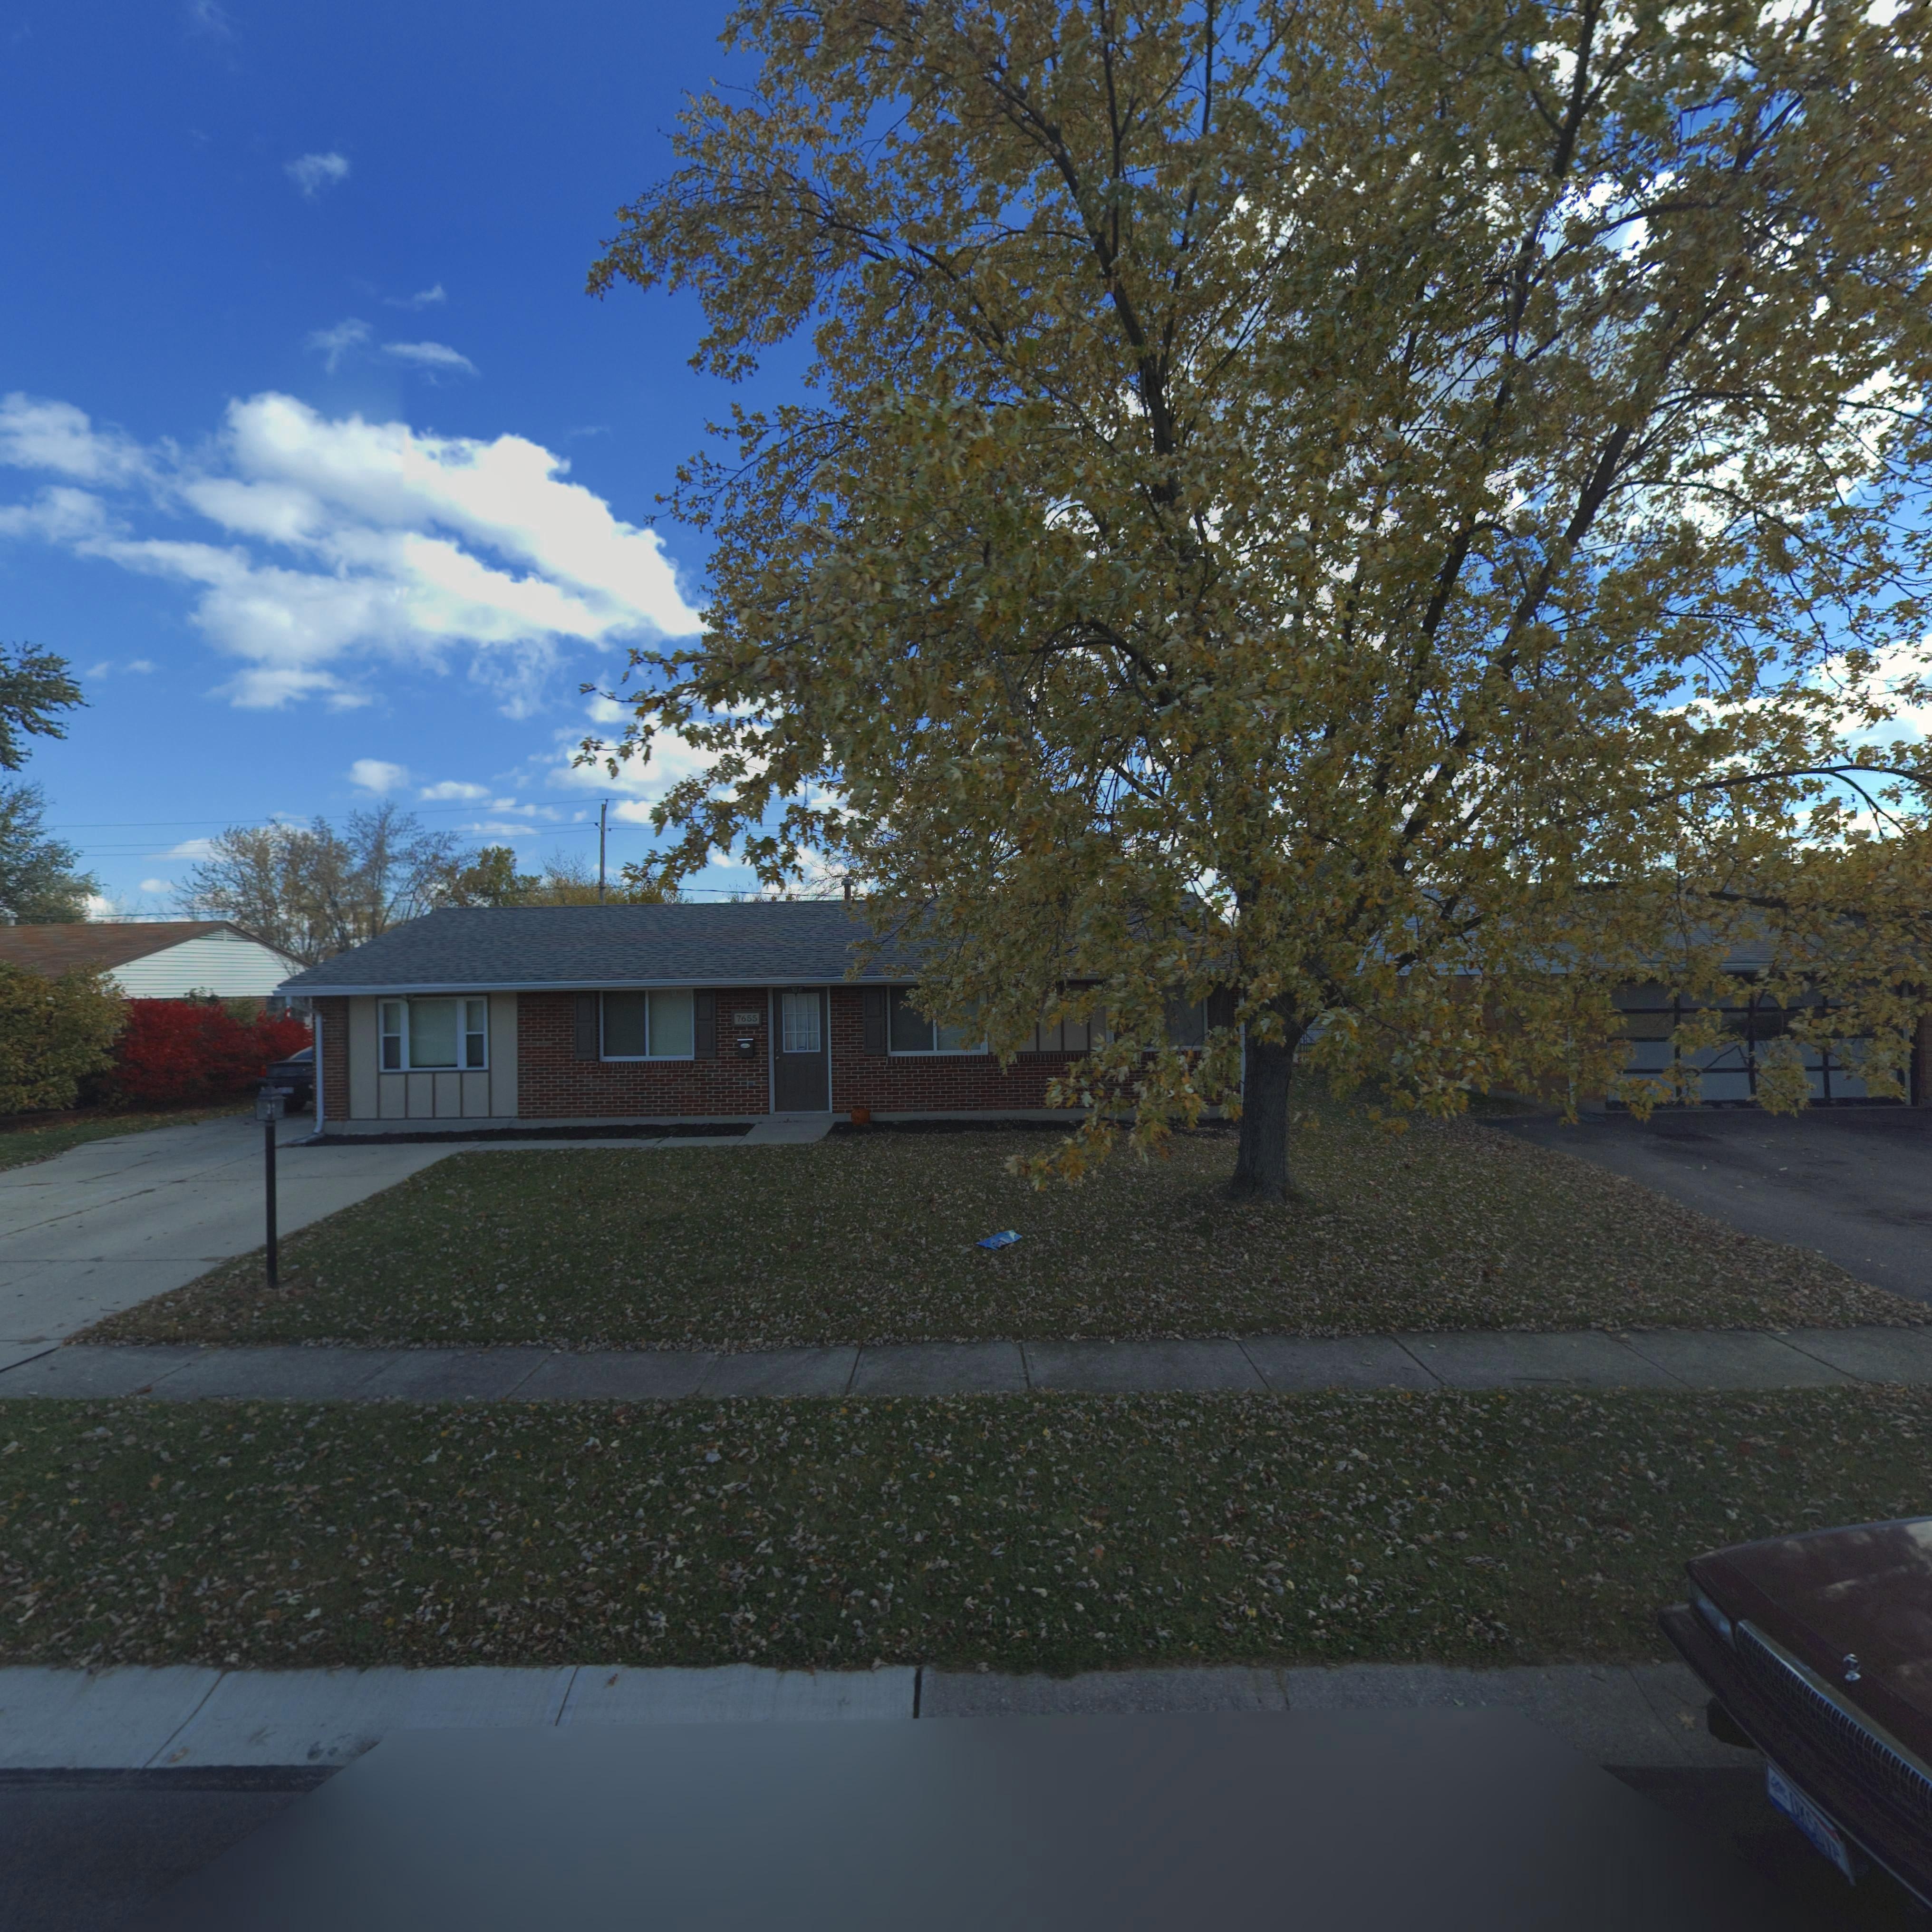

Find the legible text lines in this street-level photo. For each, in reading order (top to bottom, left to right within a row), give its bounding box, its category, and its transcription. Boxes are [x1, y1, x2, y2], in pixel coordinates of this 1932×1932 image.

[735, 1014, 758, 1022] StreetNumber: 7655